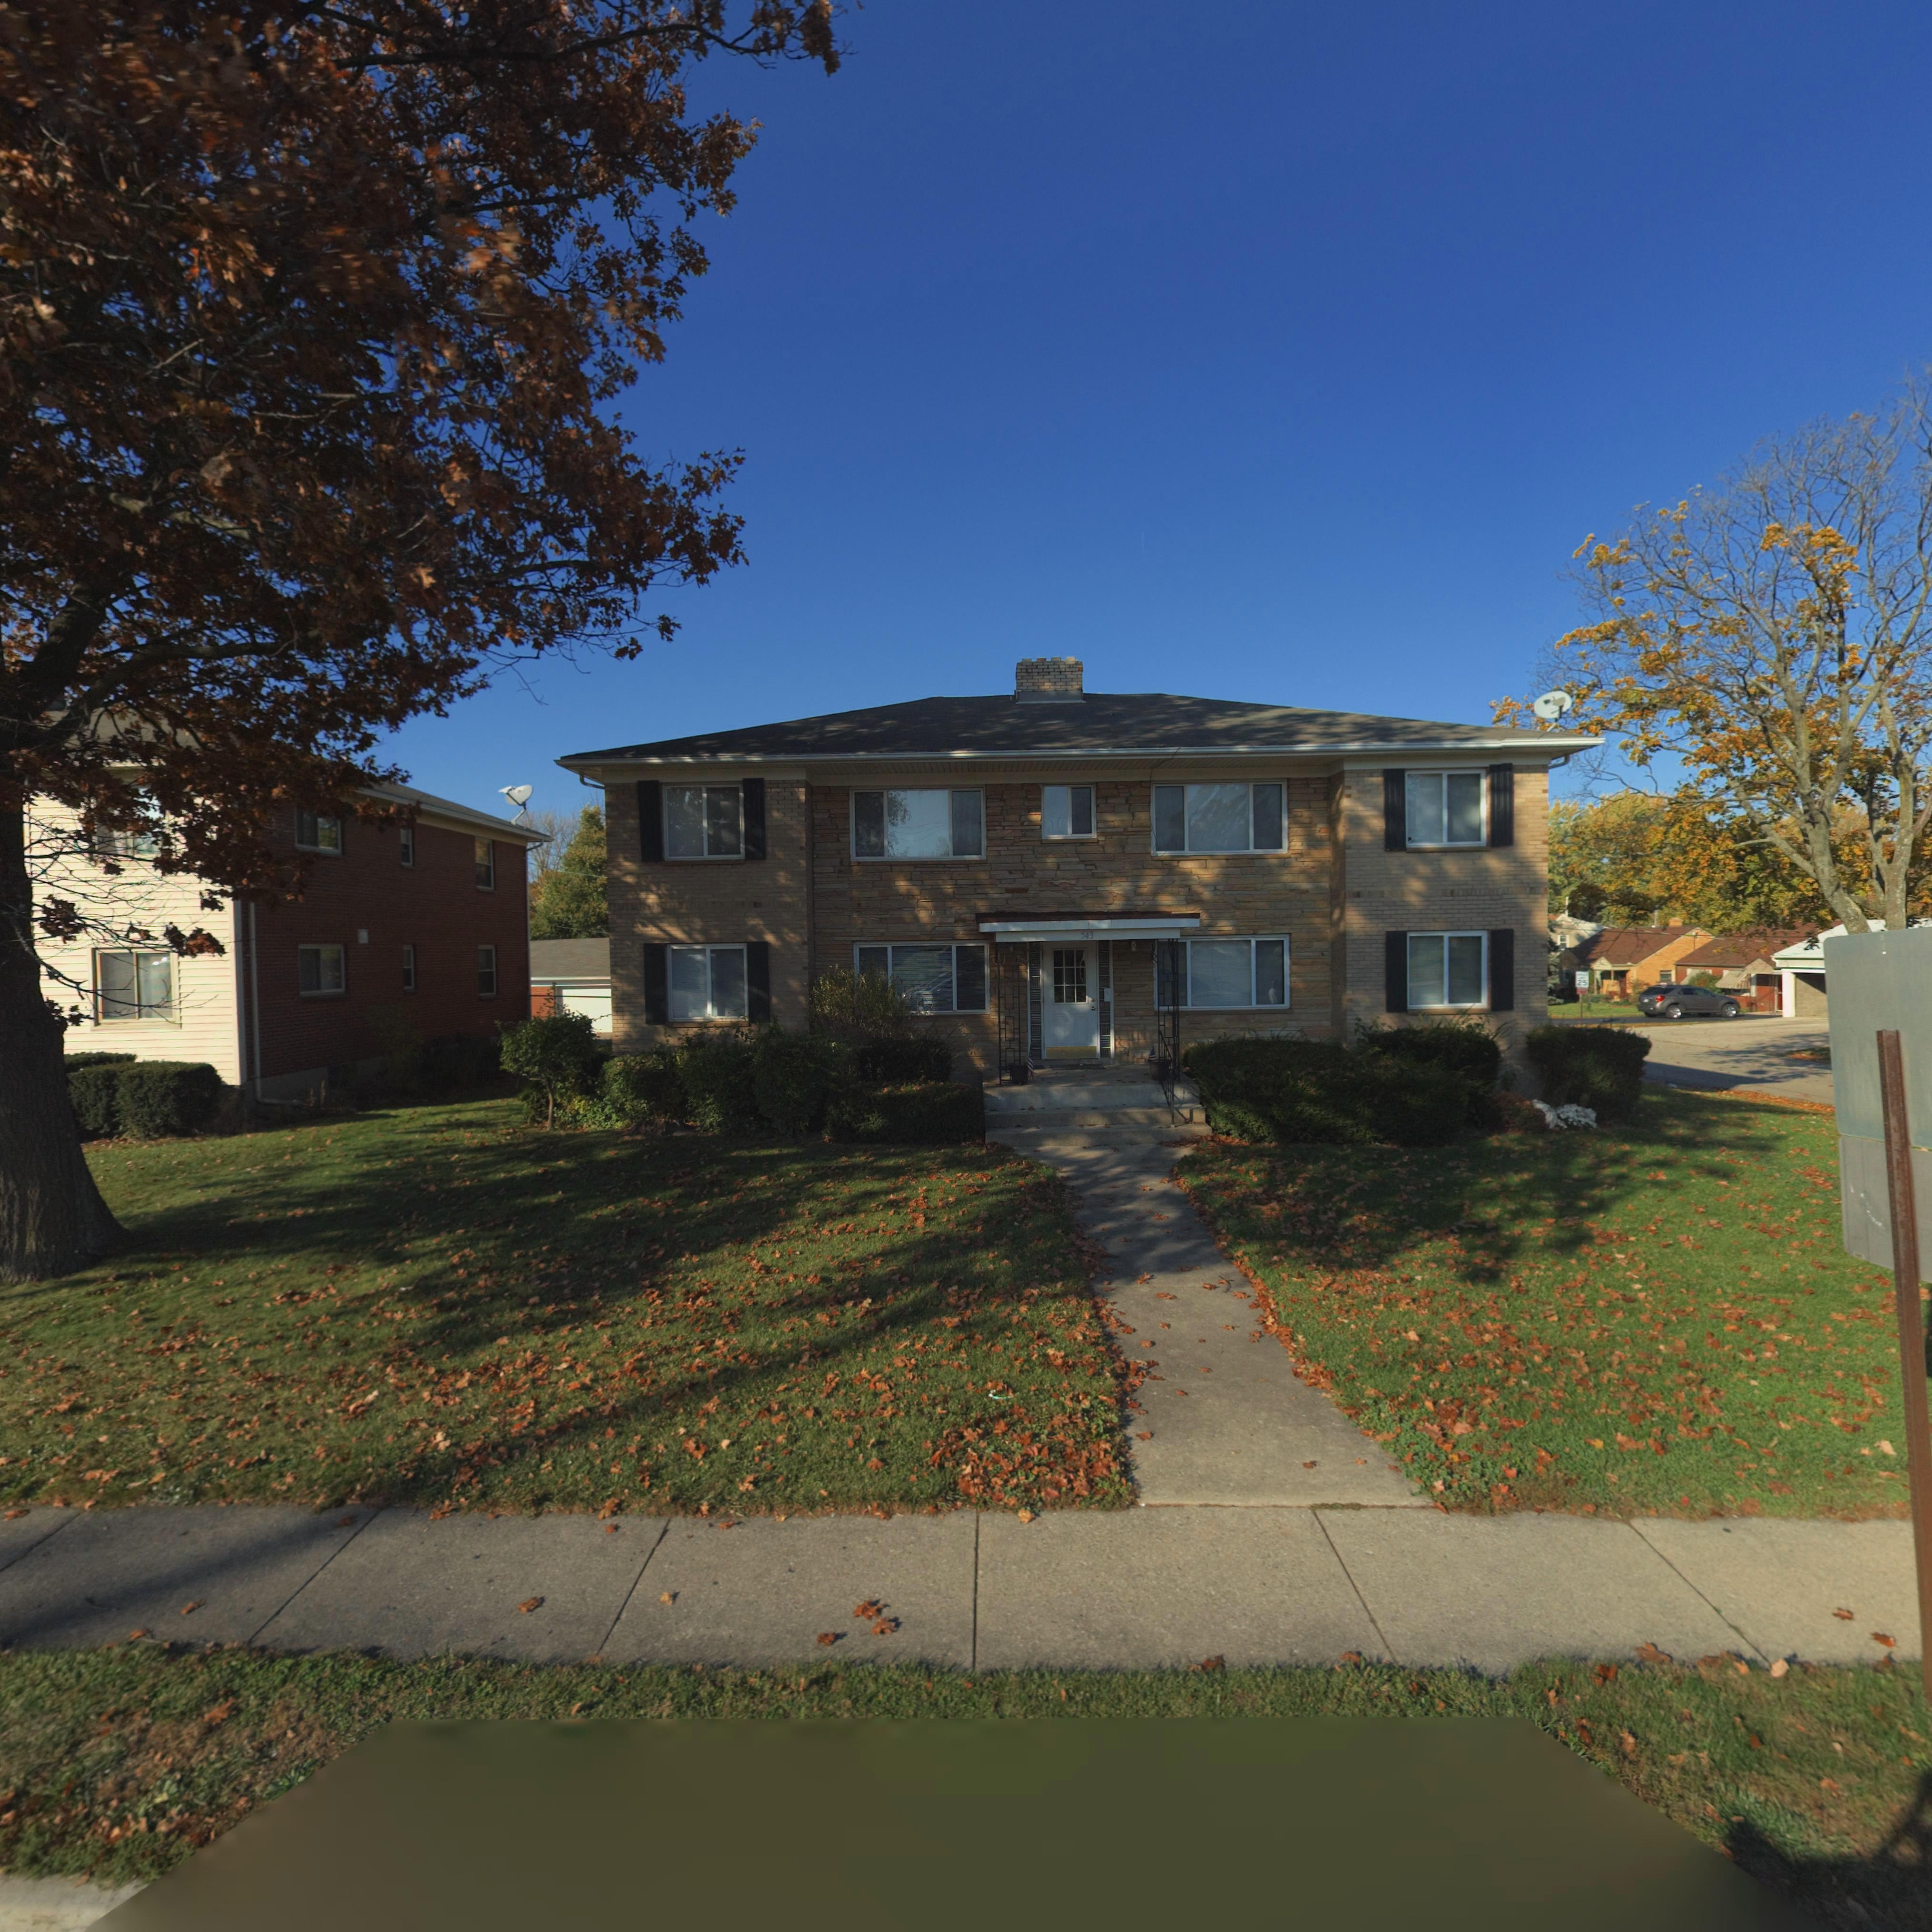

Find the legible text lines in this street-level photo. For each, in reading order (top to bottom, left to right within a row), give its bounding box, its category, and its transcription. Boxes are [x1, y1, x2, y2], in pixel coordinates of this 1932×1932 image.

[1081, 931, 1094, 939] StreetNumber: 543